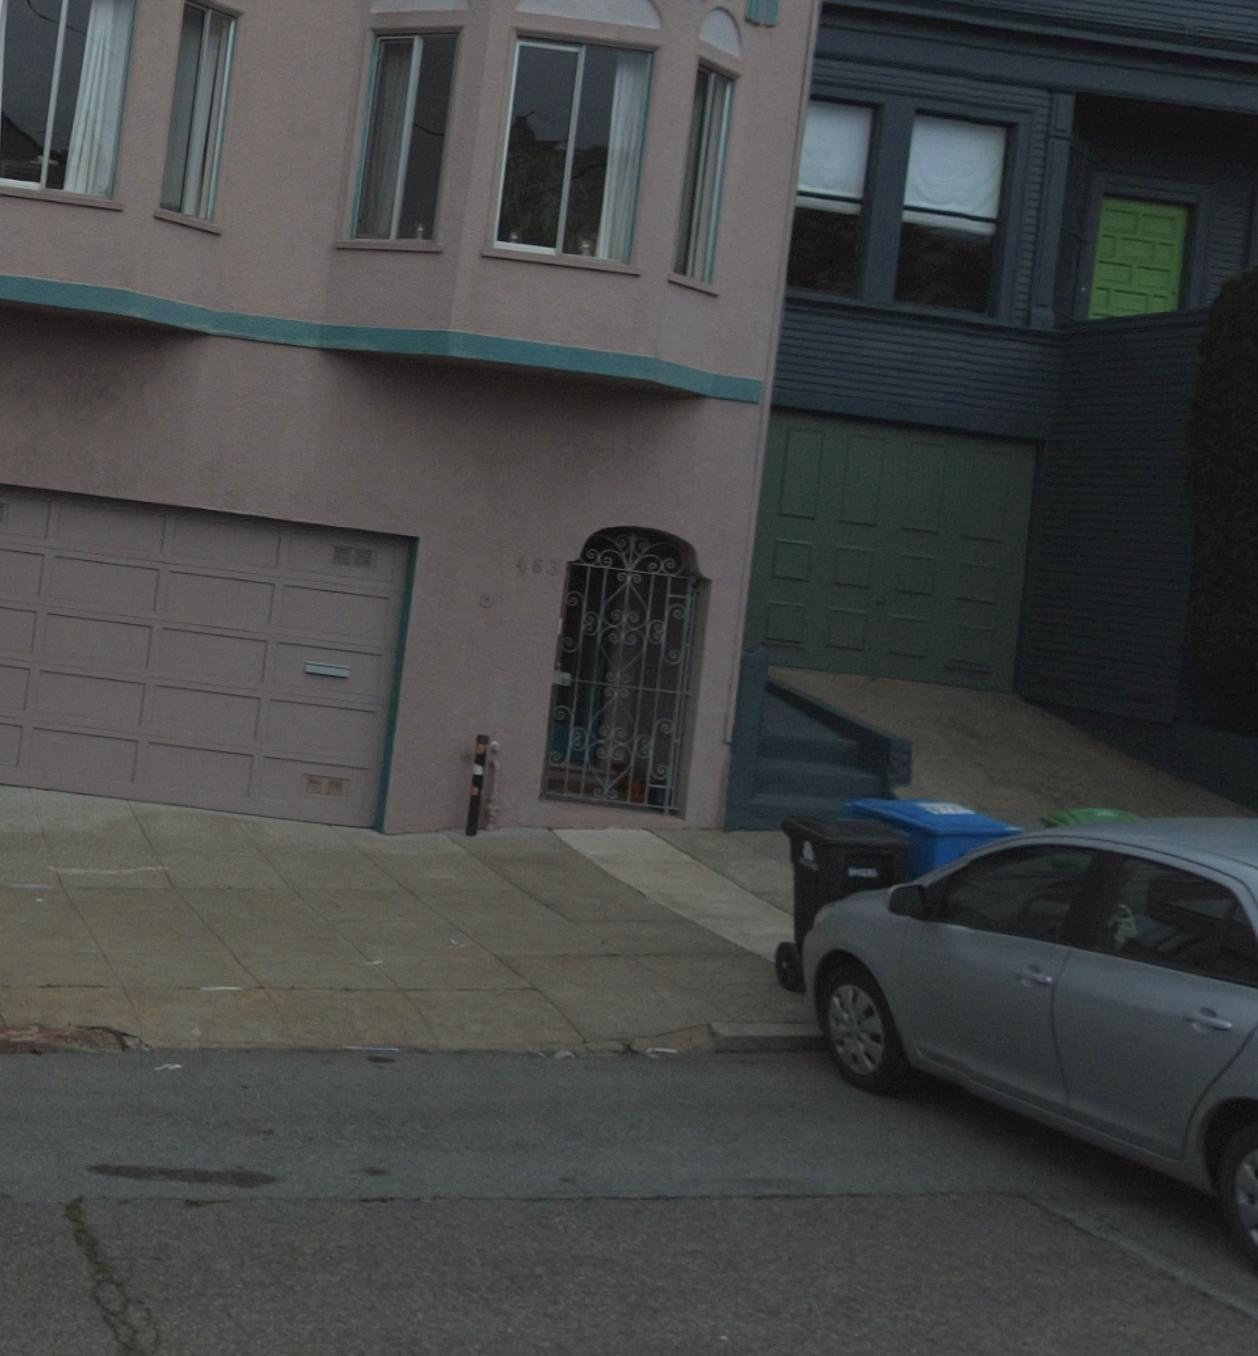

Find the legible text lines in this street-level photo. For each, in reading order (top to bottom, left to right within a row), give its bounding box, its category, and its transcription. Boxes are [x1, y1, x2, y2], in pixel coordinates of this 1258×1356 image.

[515, 555, 562, 575] StreetNumber: 463